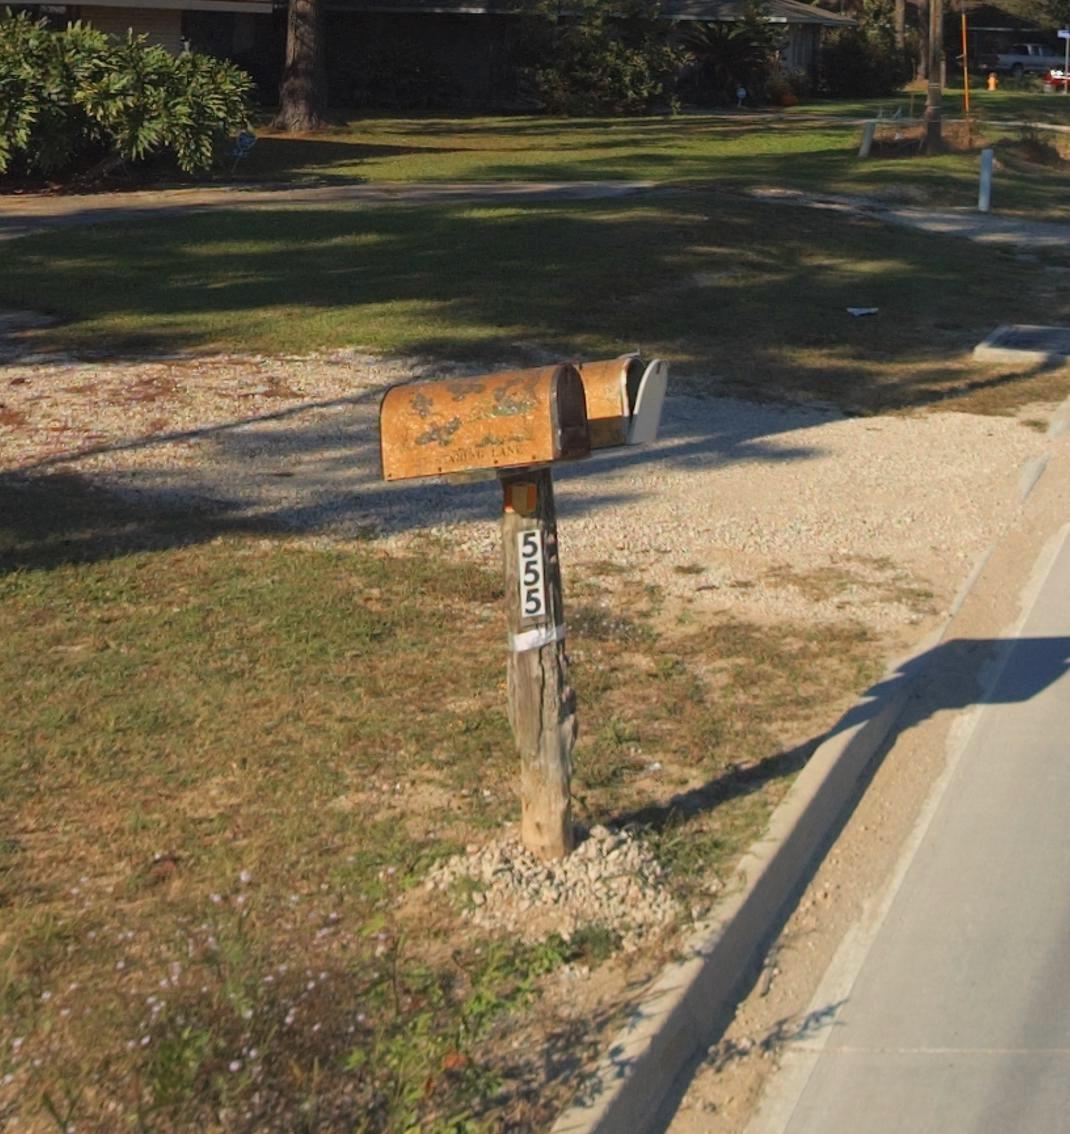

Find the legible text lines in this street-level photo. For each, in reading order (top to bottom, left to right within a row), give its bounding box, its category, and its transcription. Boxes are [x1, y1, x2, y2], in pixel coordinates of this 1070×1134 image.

[522, 531, 544, 616] StreetNumber: 555